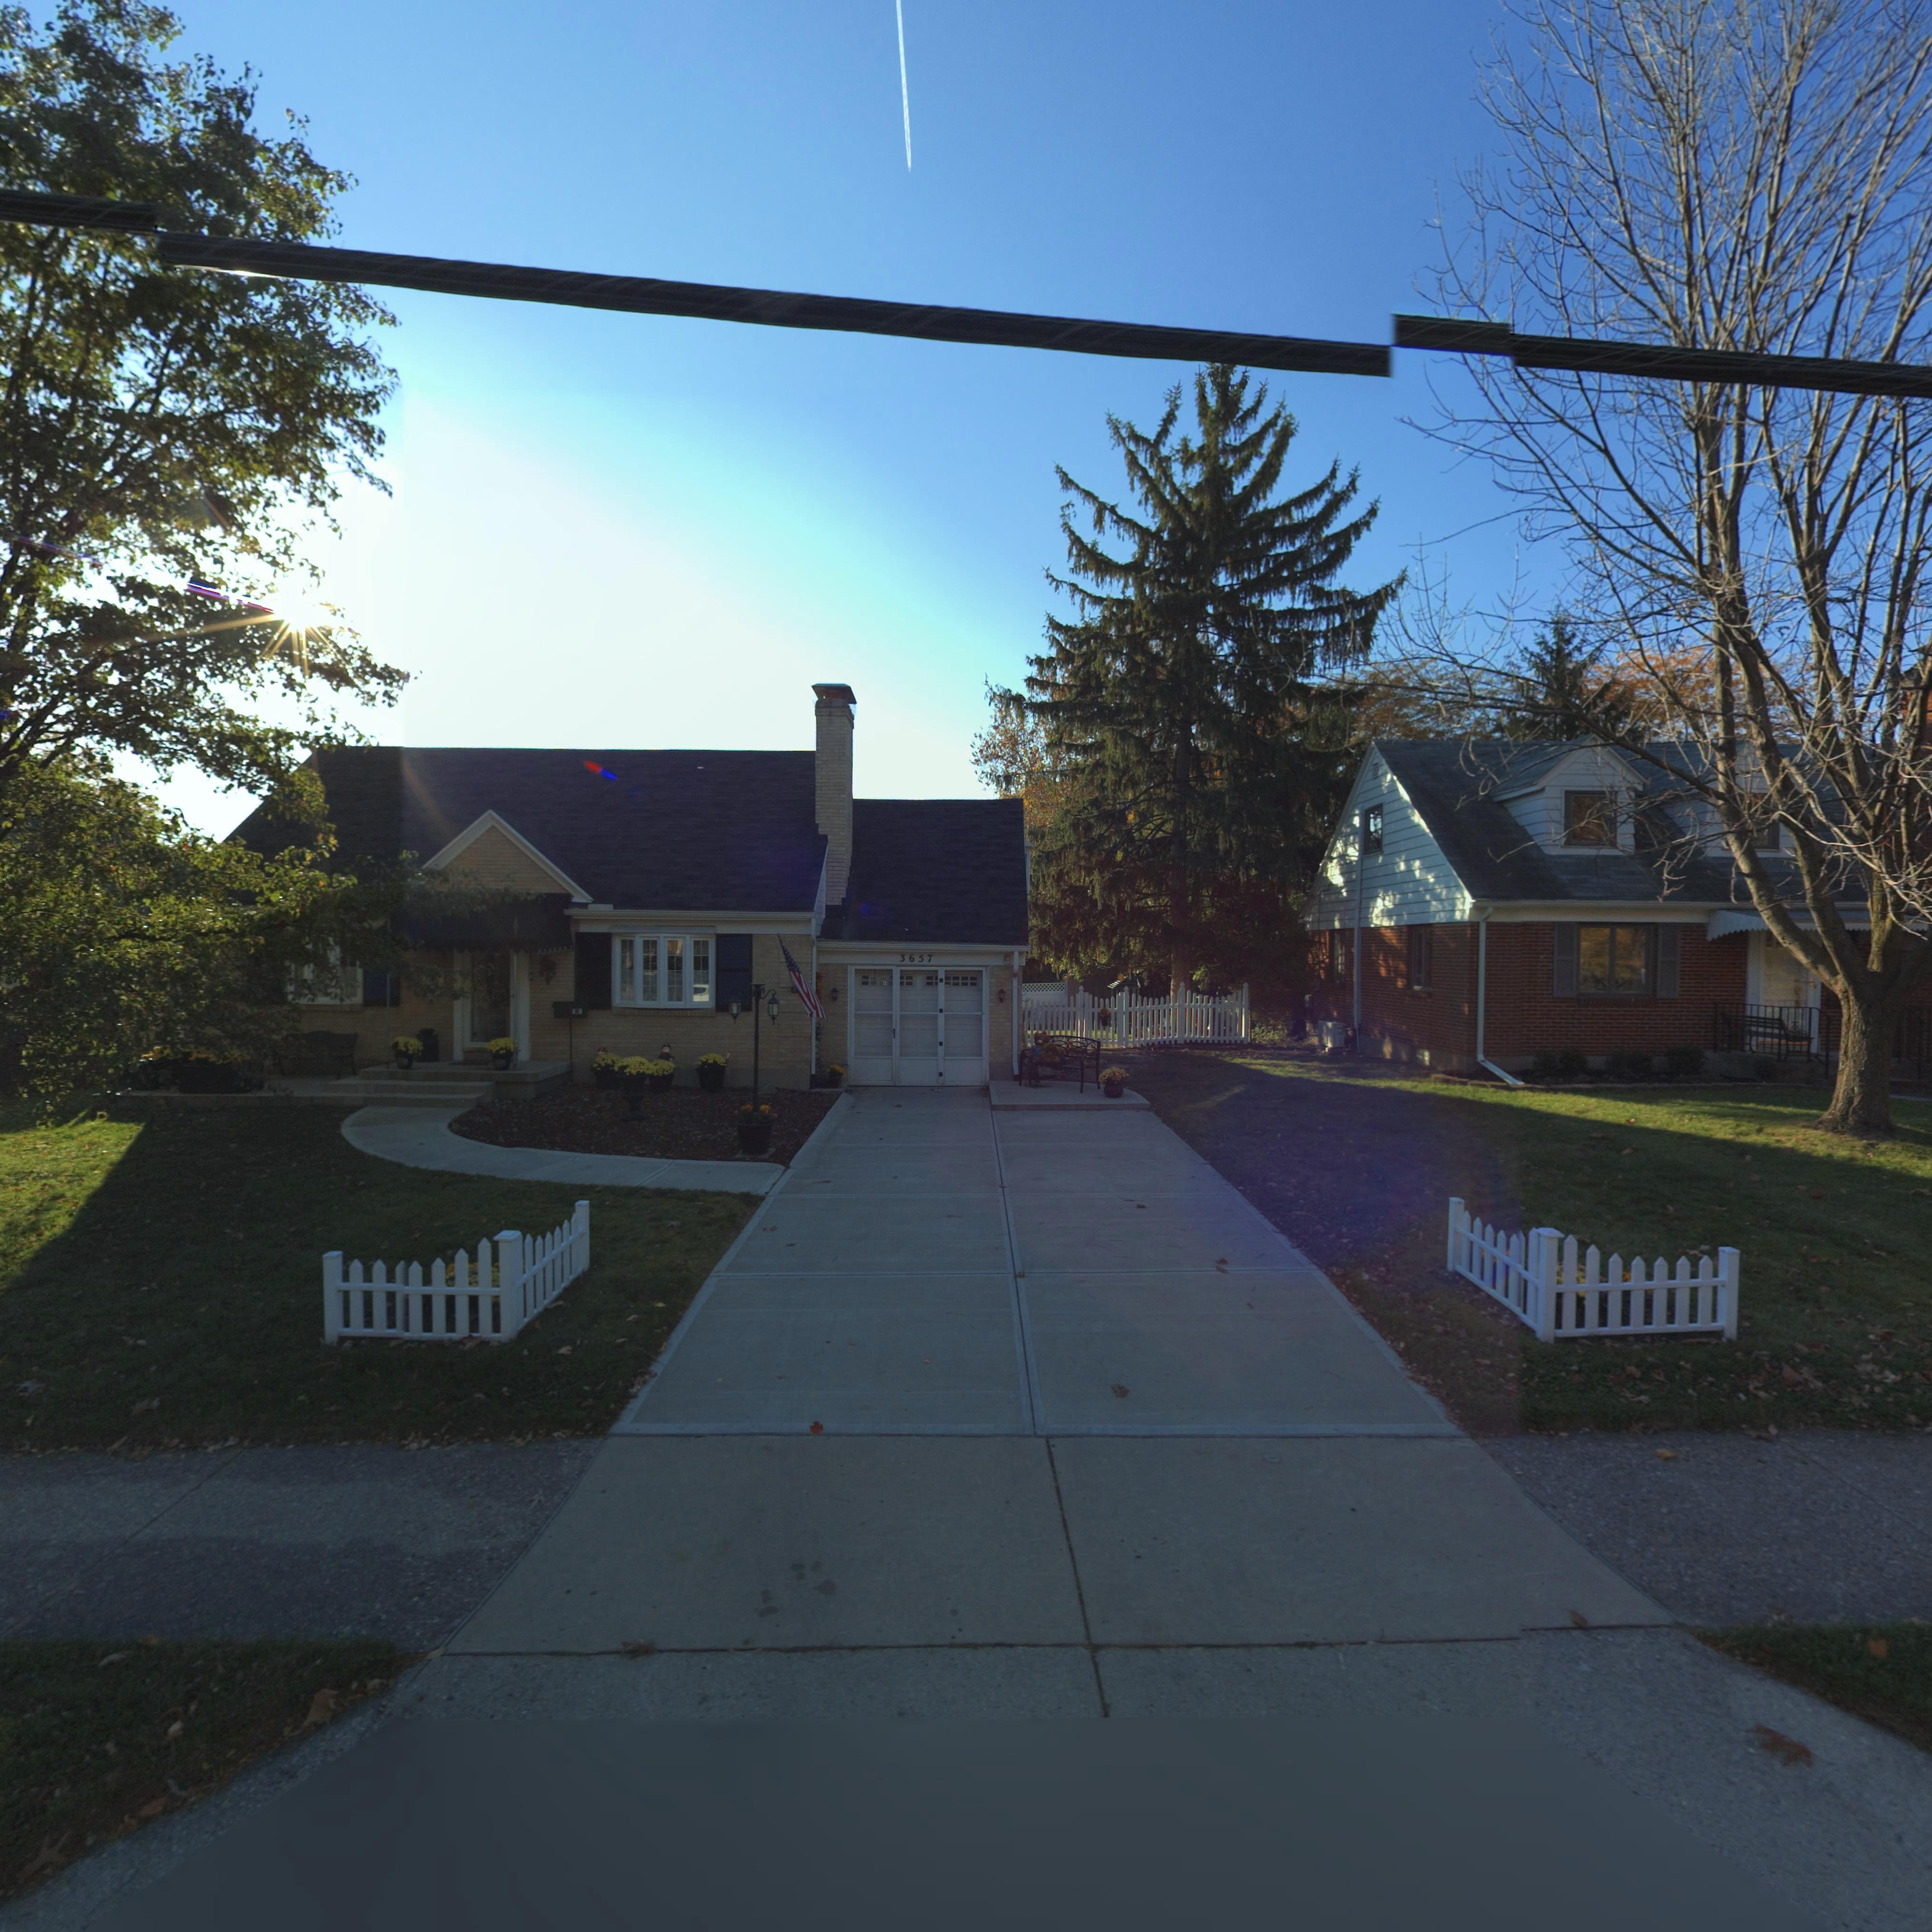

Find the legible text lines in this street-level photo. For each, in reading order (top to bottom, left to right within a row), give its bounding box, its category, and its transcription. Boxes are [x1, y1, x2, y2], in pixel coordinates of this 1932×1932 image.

[899, 953, 933, 963] StreetNumber: 3657